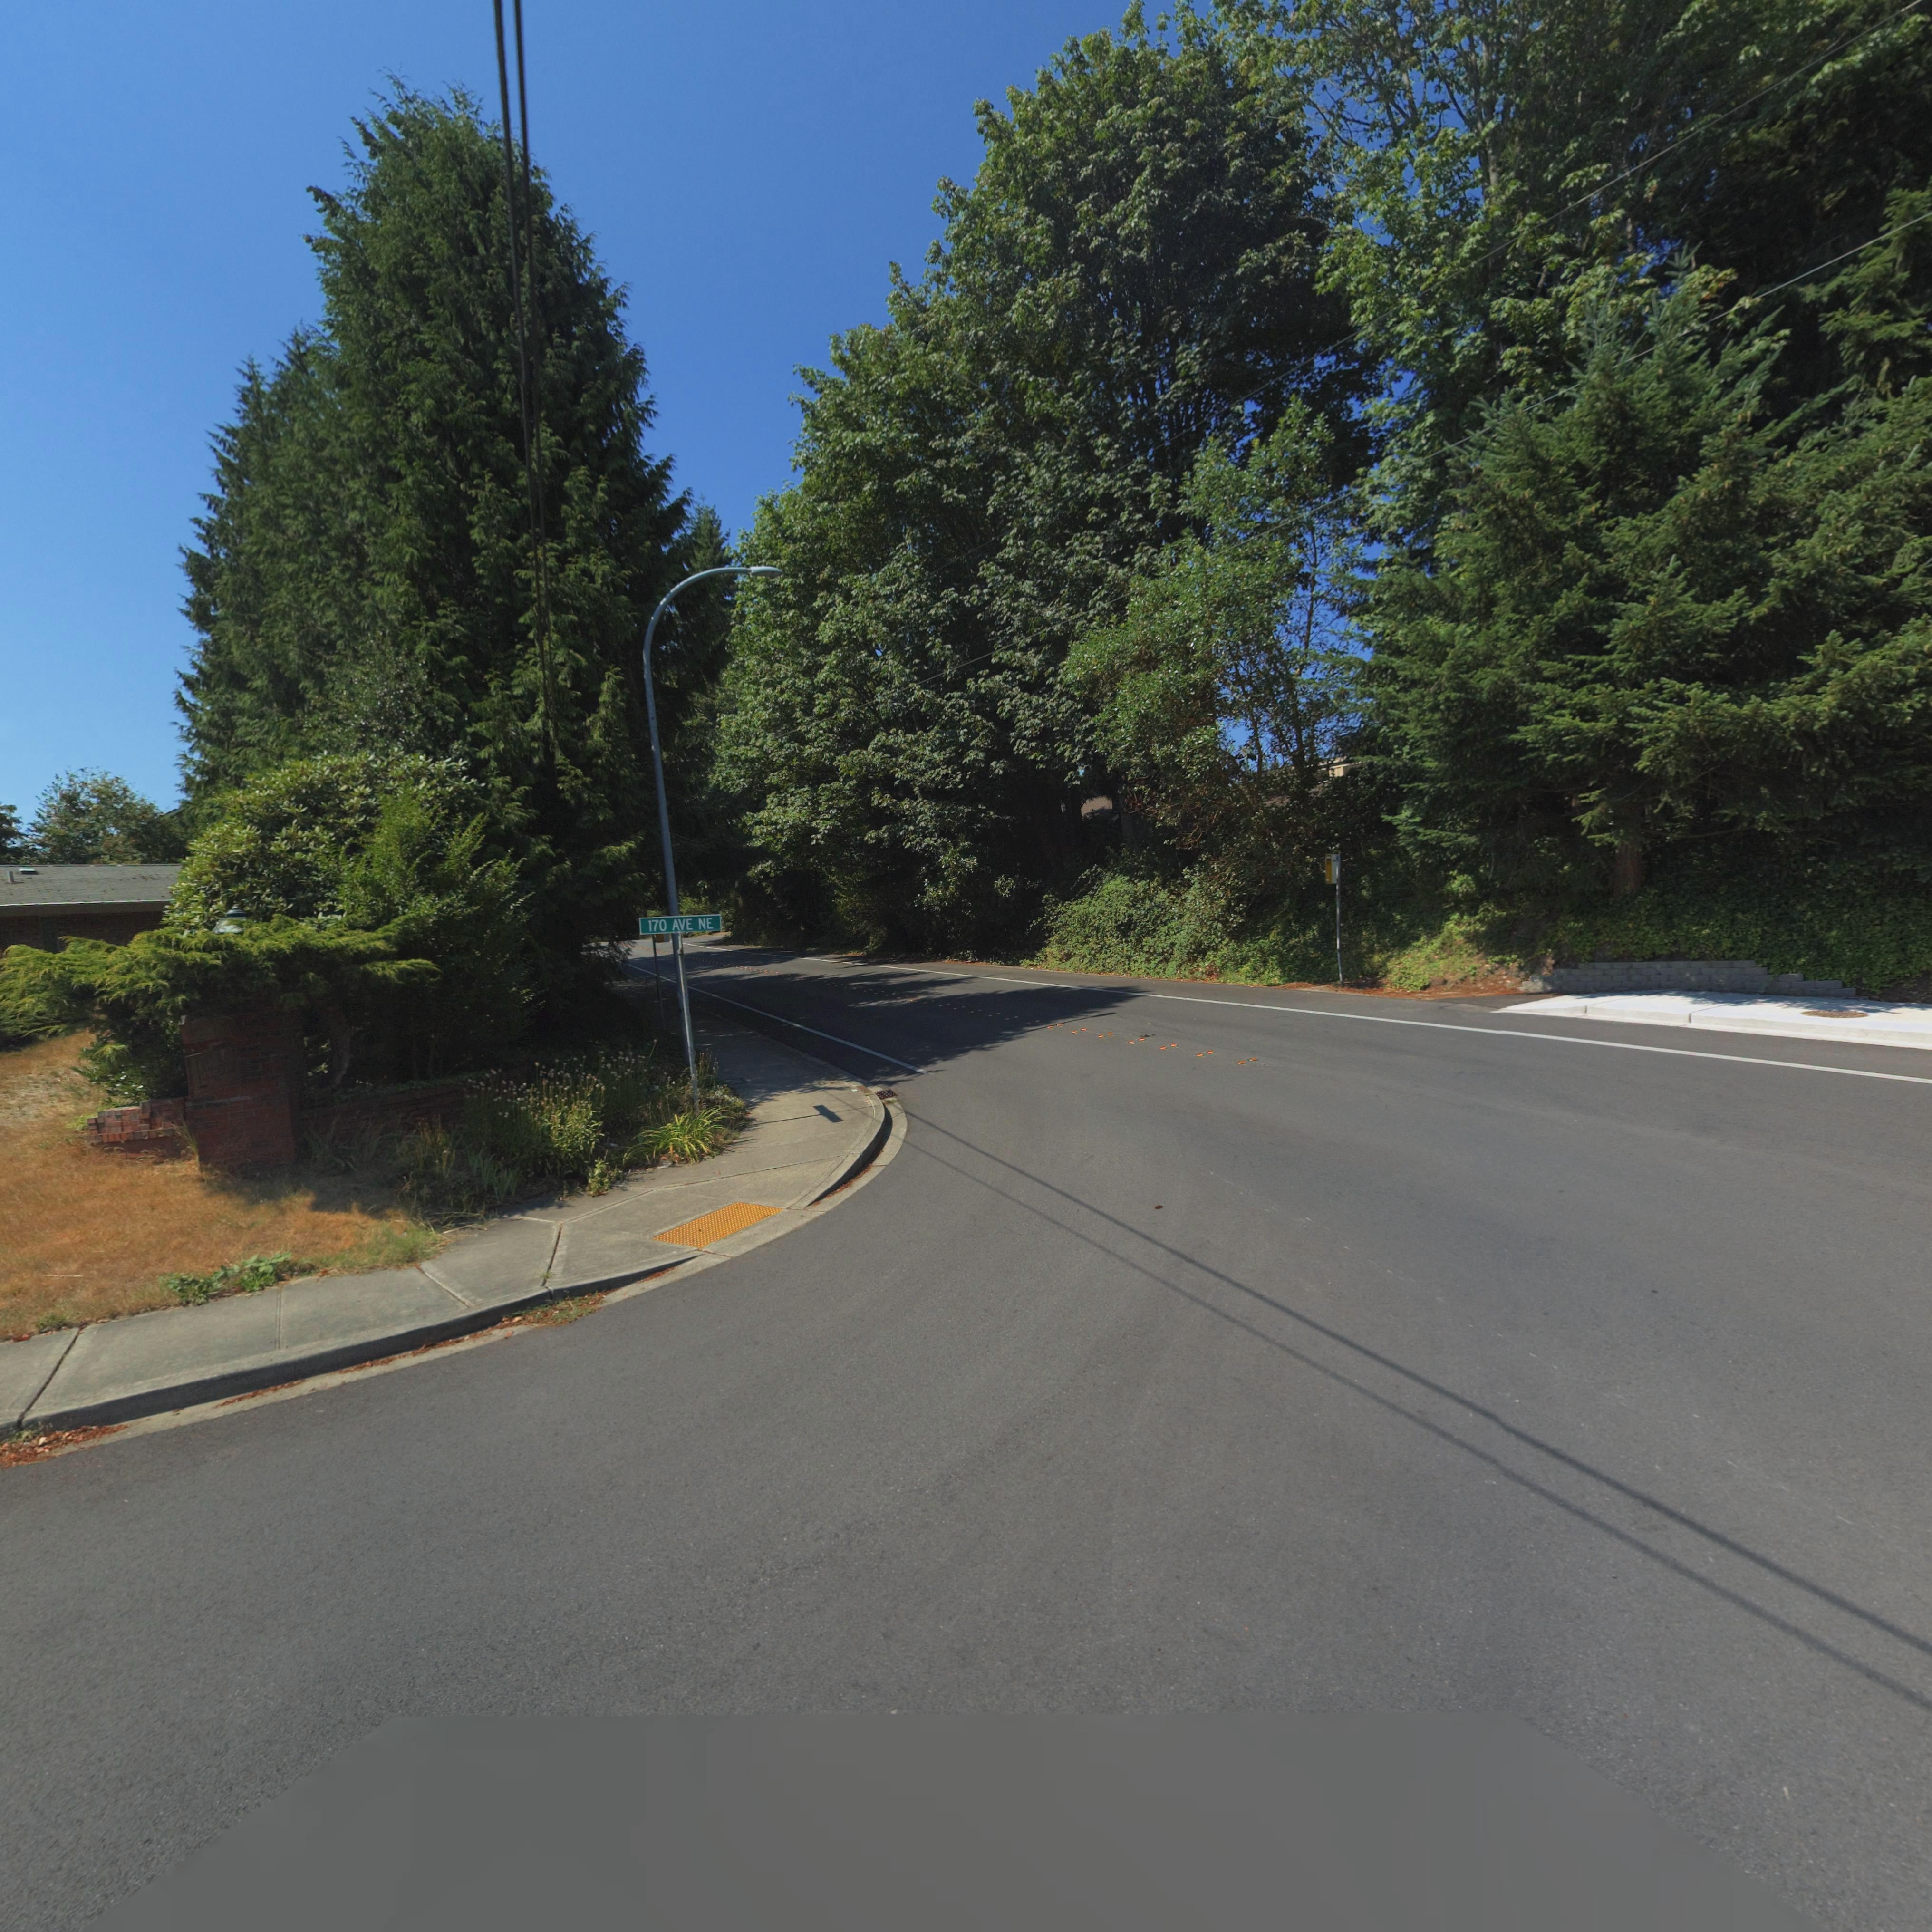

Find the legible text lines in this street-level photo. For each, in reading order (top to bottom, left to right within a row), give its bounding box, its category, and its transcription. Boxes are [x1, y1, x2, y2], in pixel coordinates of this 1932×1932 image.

[648, 916, 713, 932] StreetName: 170 AVE NE